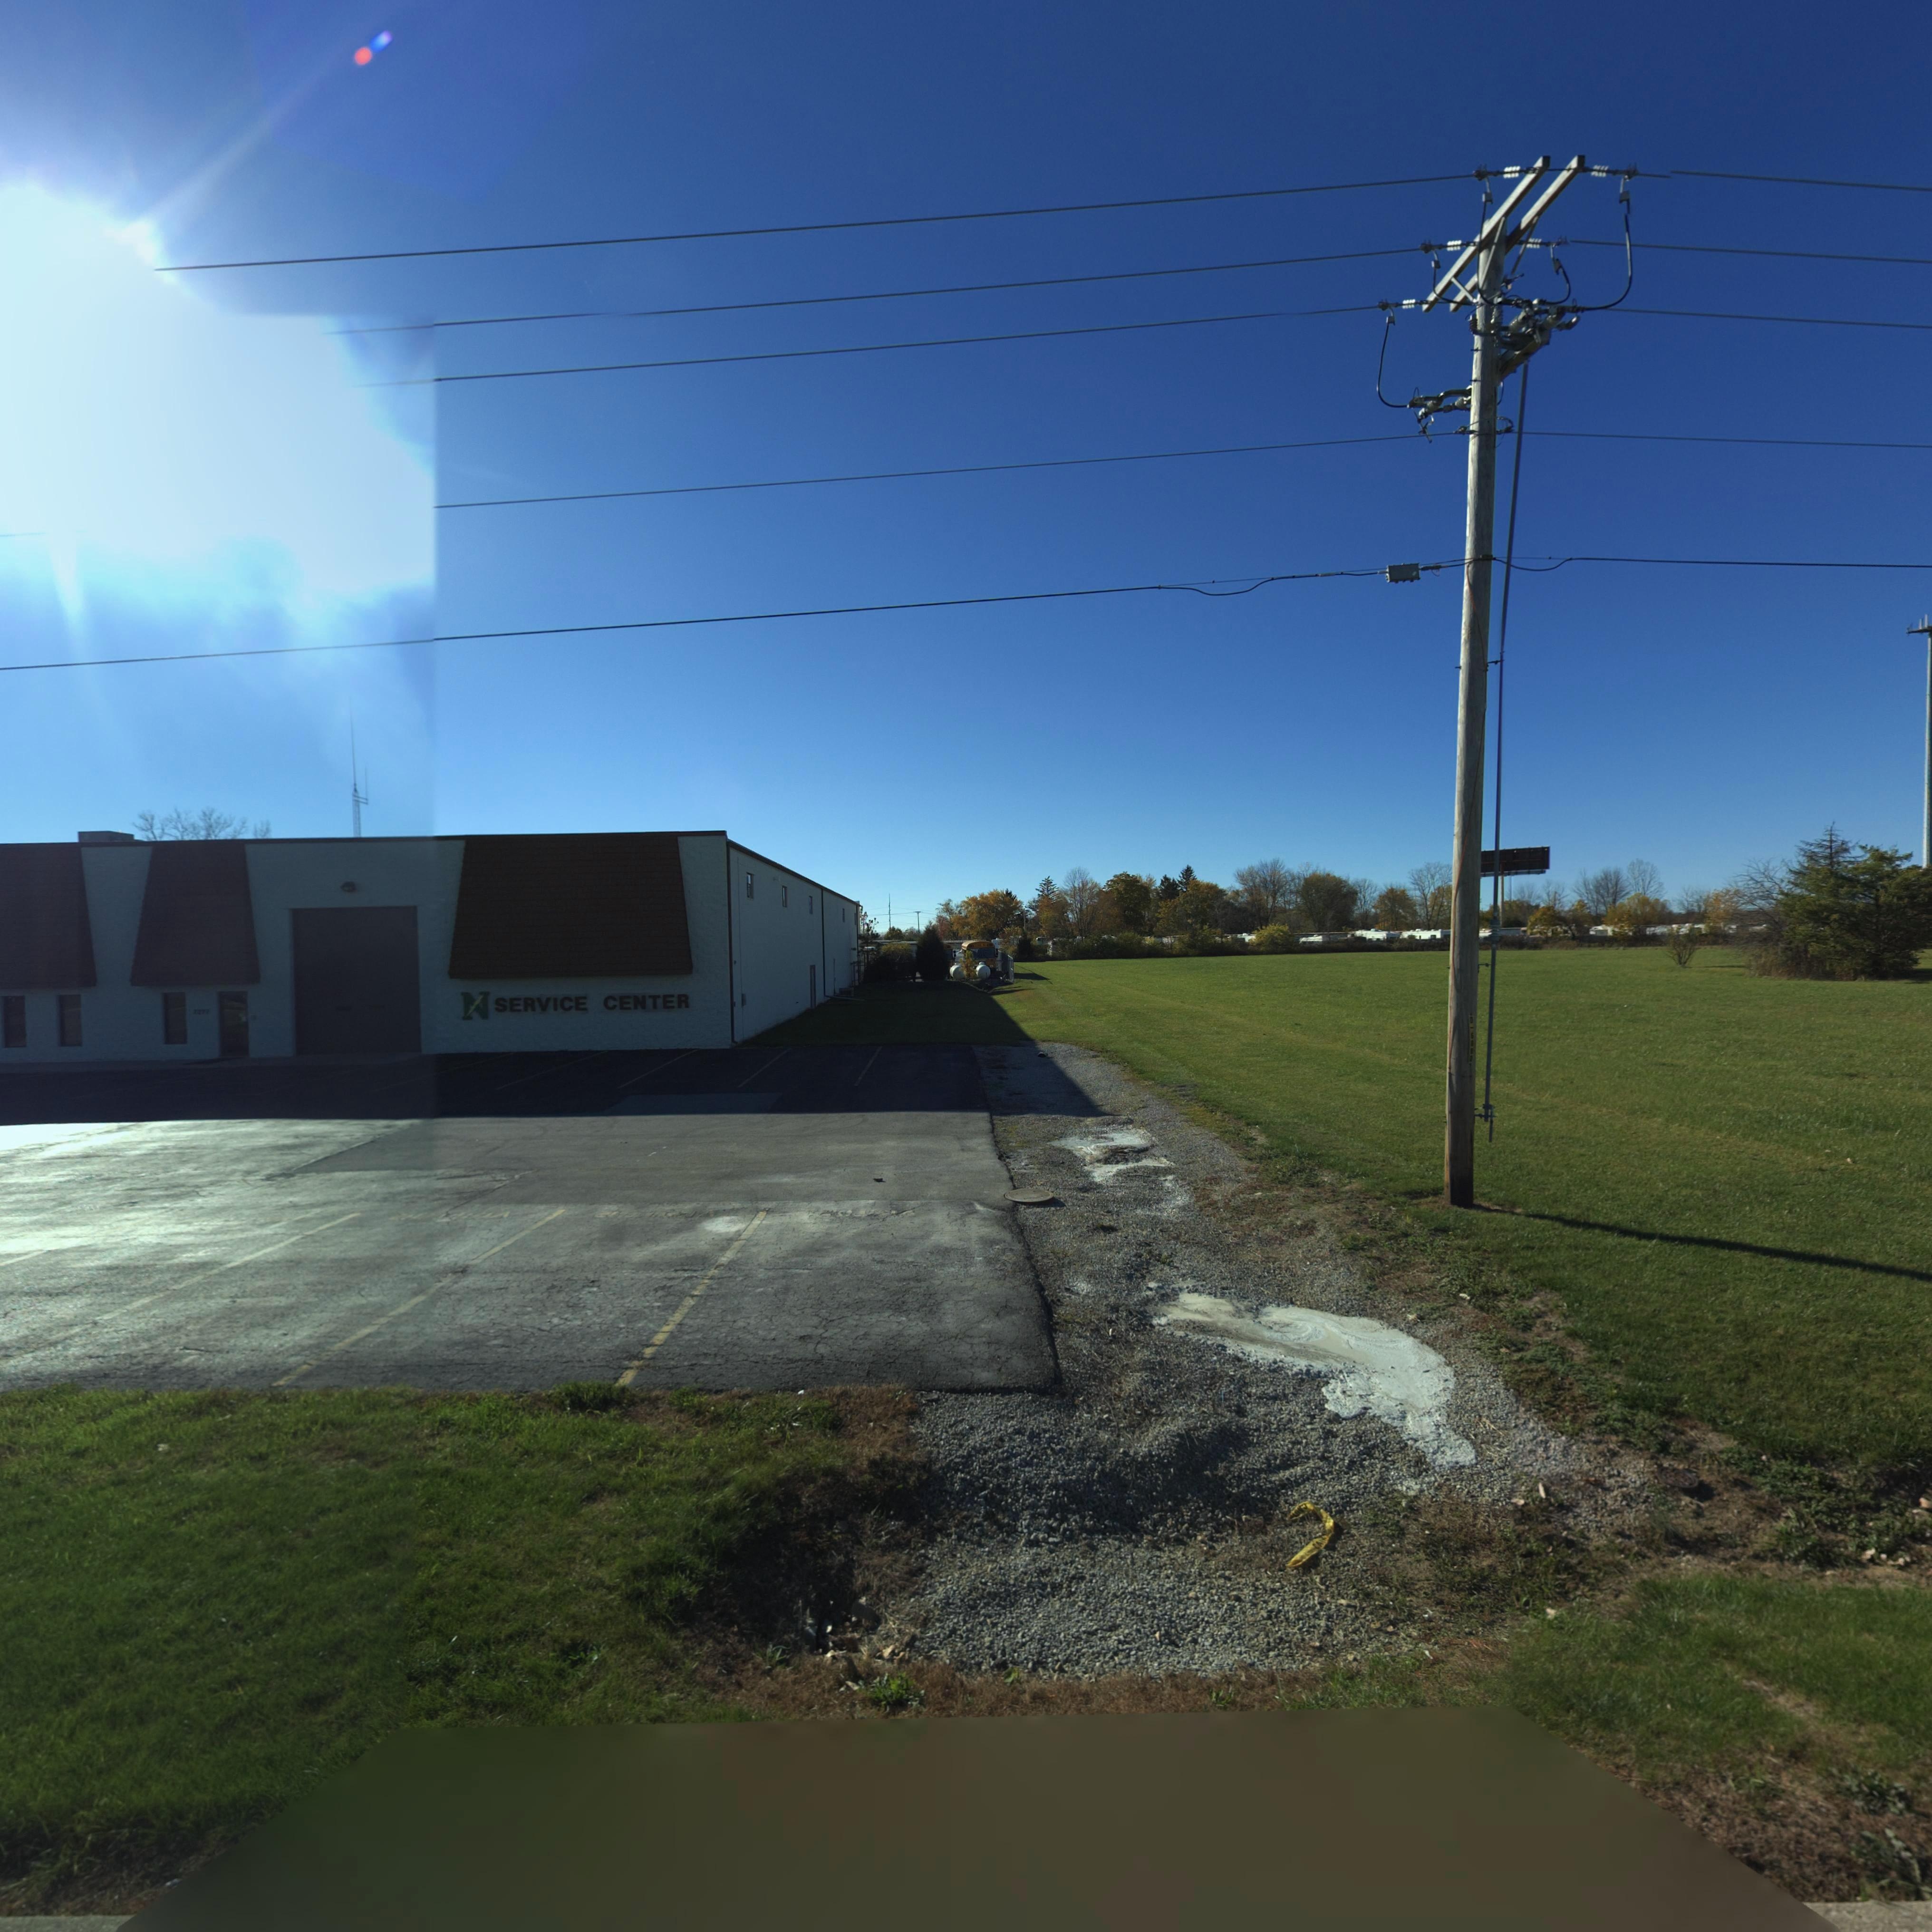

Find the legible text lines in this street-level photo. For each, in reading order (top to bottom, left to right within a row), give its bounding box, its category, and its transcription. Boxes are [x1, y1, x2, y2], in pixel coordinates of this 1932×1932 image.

[193, 1008, 210, 1015] StreetNumber: 7277